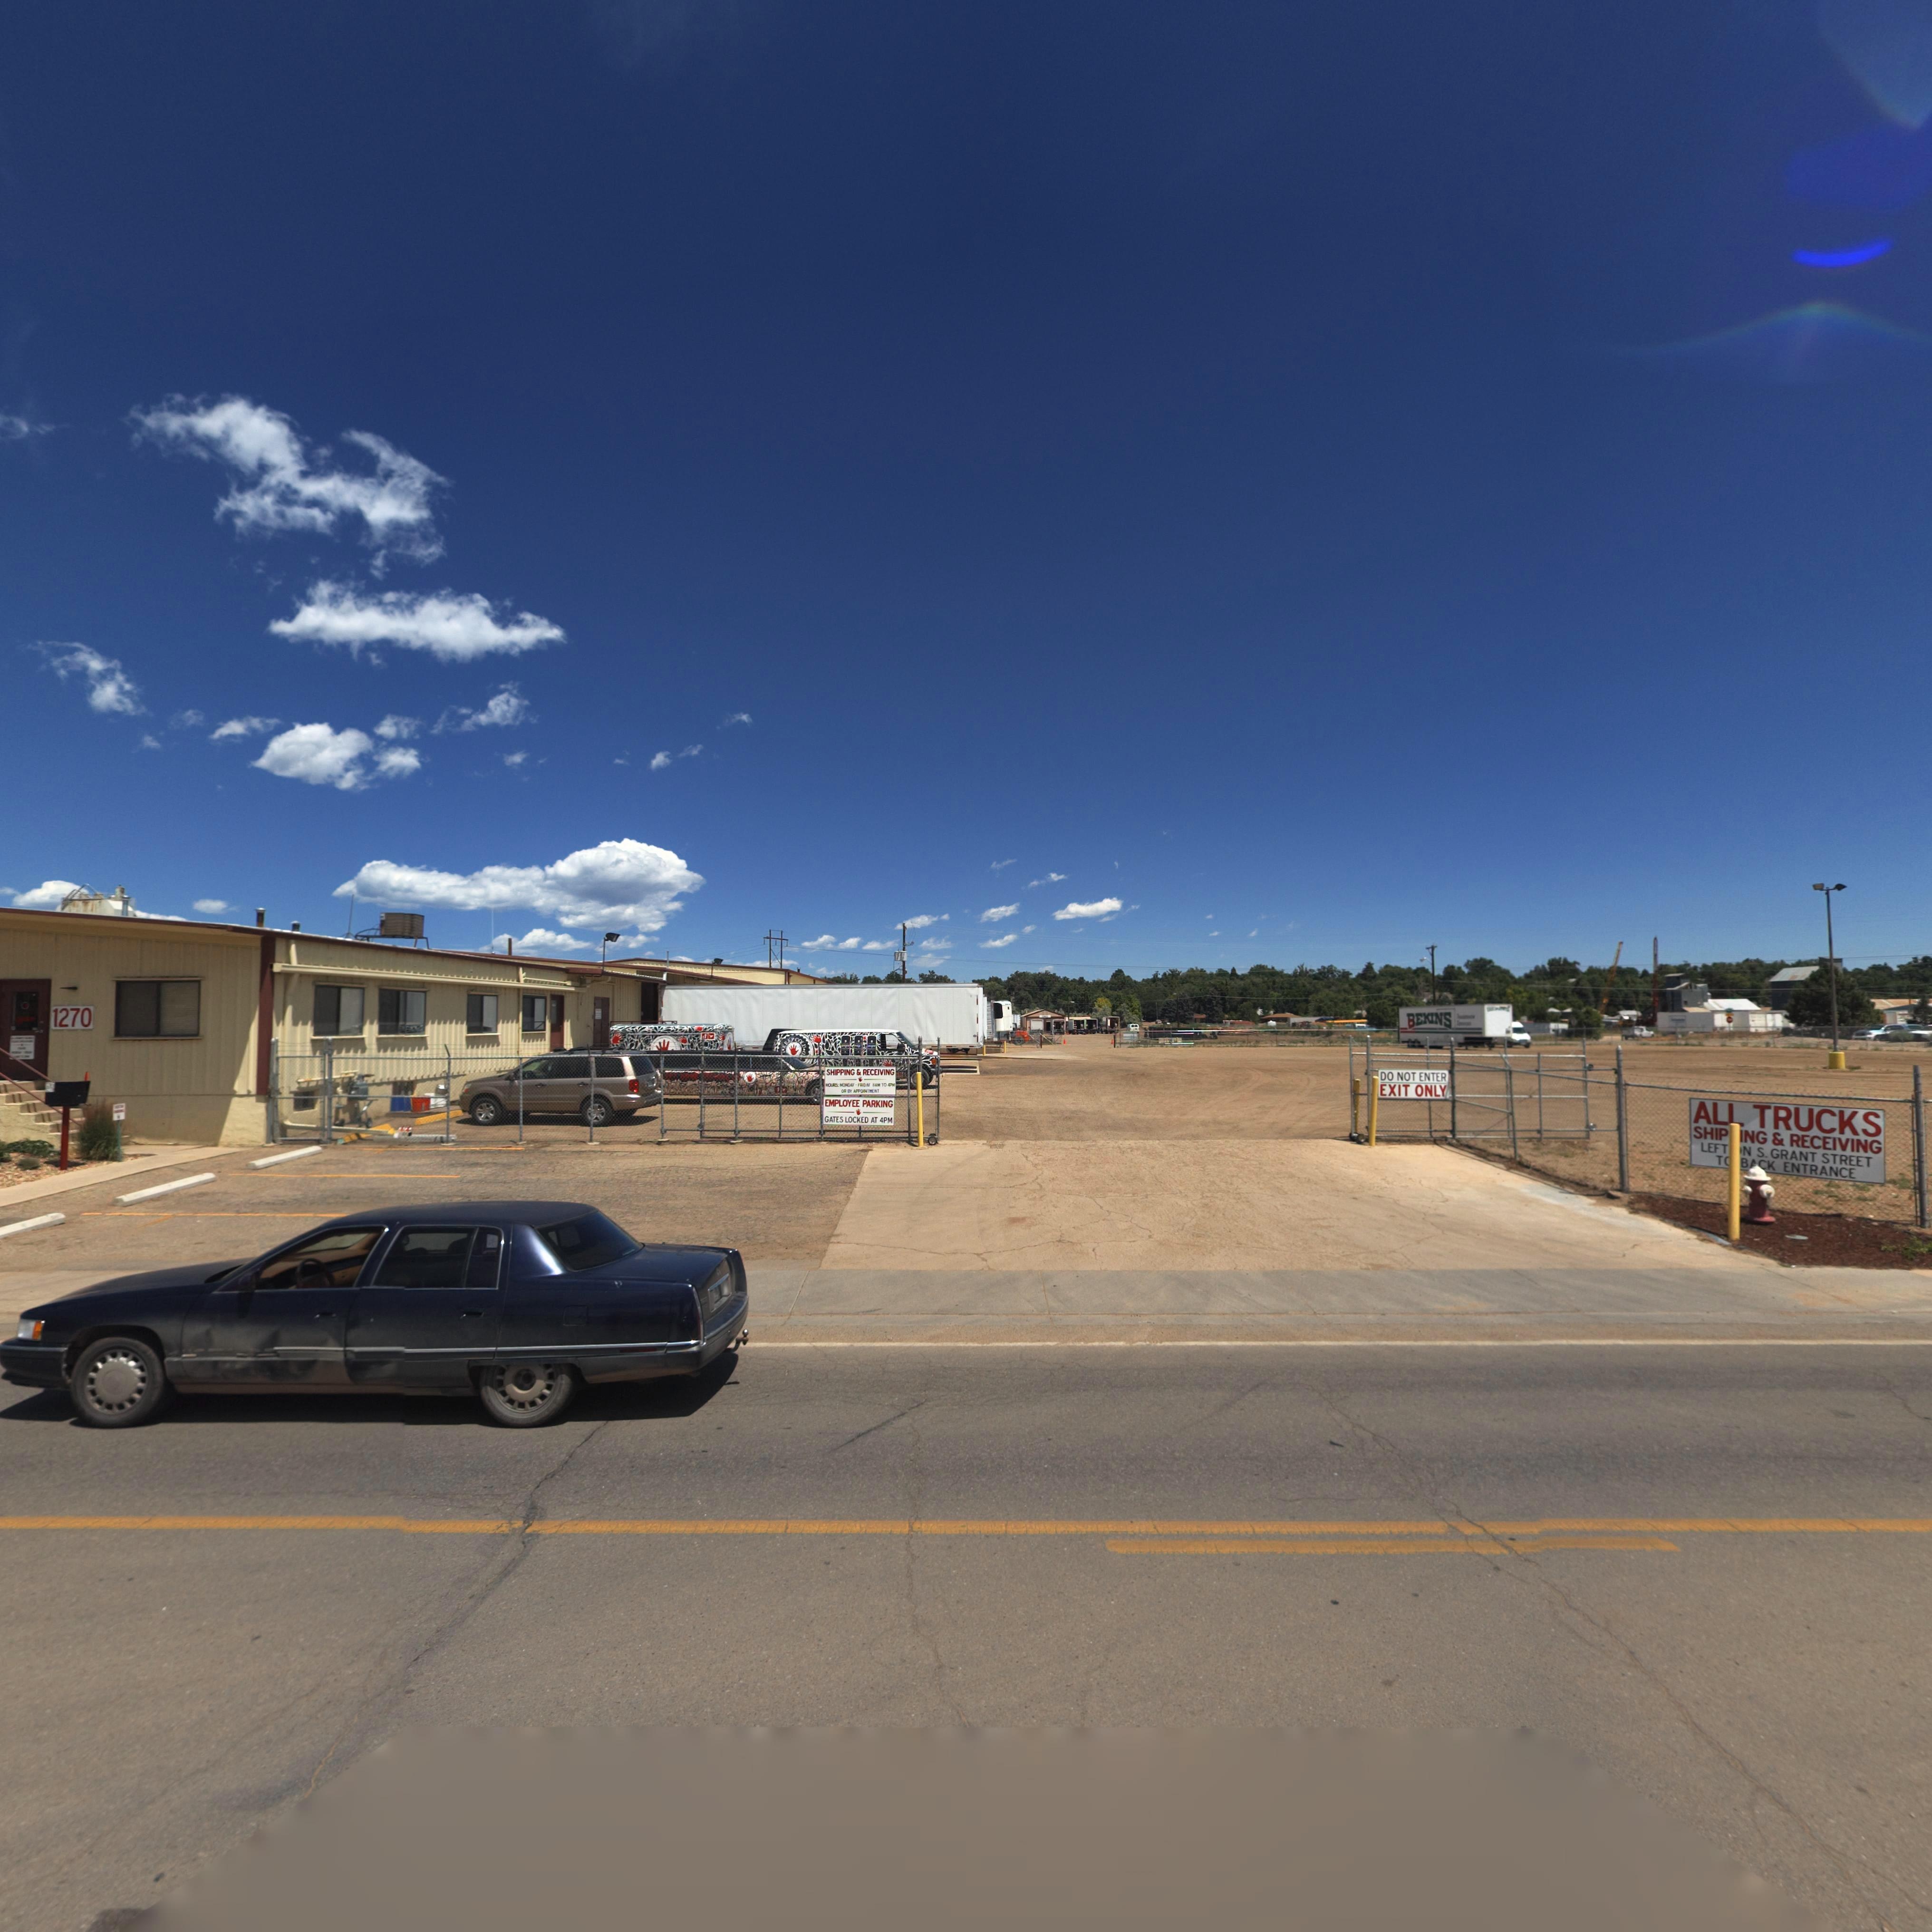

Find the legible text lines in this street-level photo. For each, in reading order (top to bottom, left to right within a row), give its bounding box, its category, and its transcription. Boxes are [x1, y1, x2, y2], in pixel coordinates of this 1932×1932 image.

[51, 1006, 93, 1029] StreetNumber: 1270
[1756, 1146, 1873, 1168] StreetName: S. GRANT STREET